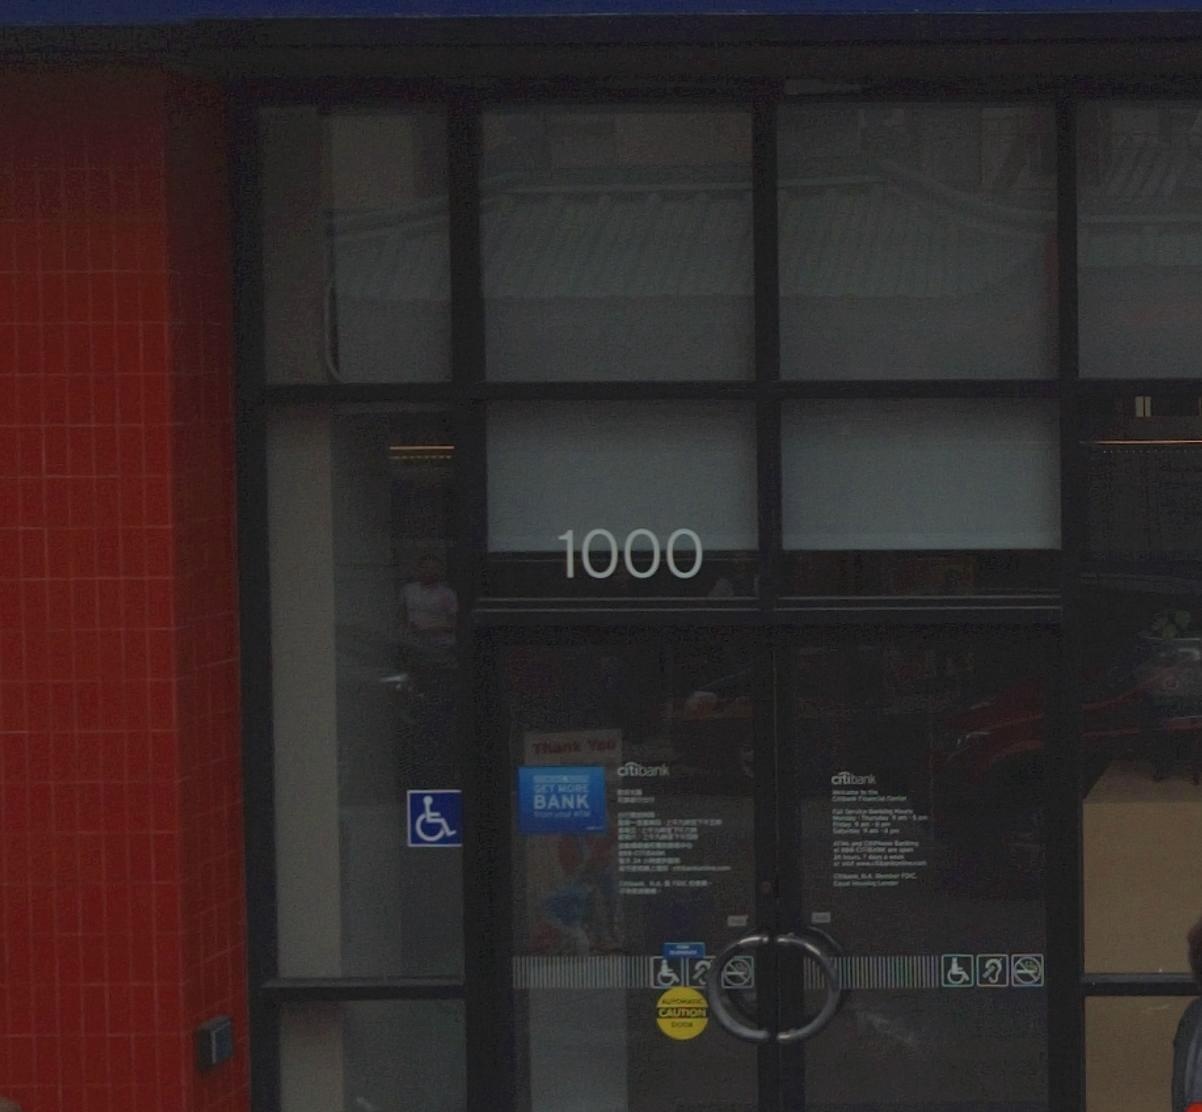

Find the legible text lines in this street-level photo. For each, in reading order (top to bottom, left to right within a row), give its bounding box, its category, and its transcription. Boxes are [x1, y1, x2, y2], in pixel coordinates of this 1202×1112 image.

[554, 523, 707, 584] StreetNumber: 1000
[529, 735, 619, 758] None: Thank You
[615, 759, 674, 780] BusinessName: citibank
[827, 769, 879, 788] BusinessName: citibank
[531, 781, 593, 796] None: GET MORE
[530, 790, 593, 812] None: BANK
[660, 996, 705, 1006] None: AU*O*ATIC
[657, 1007, 708, 1019] None: CAUTION
[674, 1021, 689, 1029] None: OO